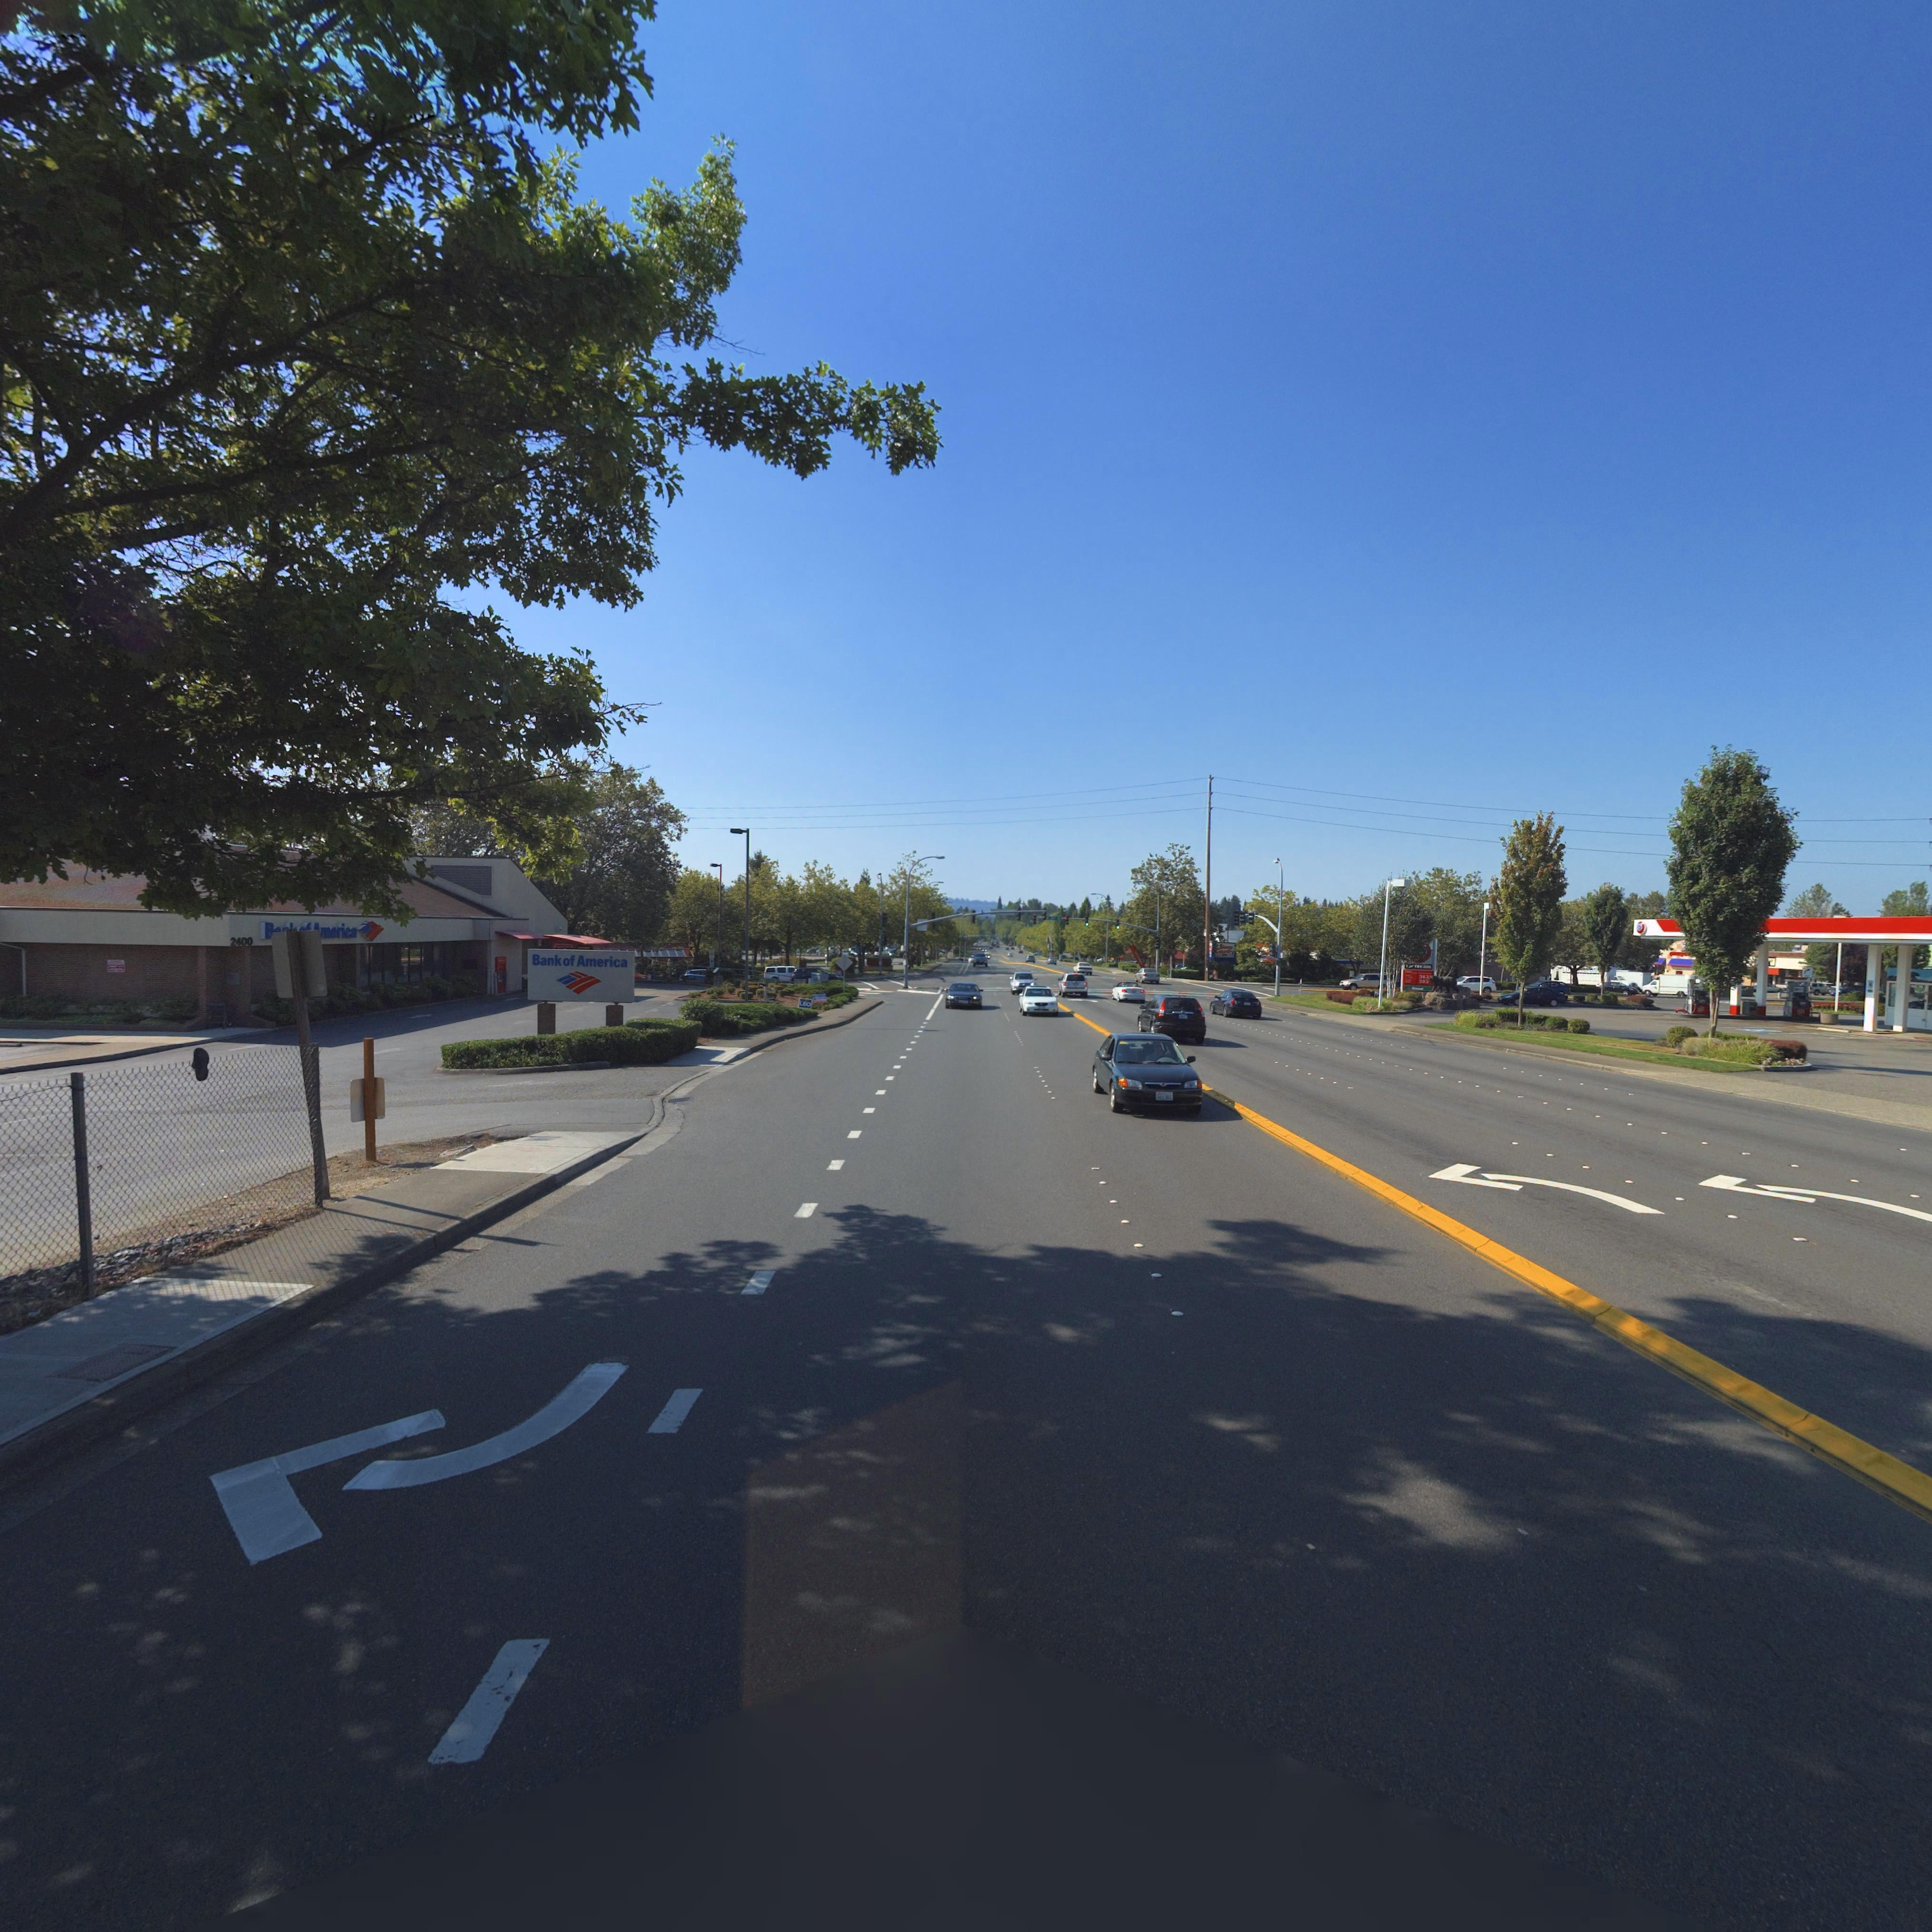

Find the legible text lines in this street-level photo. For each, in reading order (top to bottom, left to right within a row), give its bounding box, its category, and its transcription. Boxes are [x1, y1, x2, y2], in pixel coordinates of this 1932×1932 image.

[262, 921, 357, 940] BusinessName: B*** ** *merica
[230, 936, 252, 946] StreetNumber: 2400
[1215, 947, 1234, 954] BusinessName: Country
[1218, 944, 1233, 950] BusinessName: Sleep
[532, 954, 628, 968] BusinessName: Bank of America